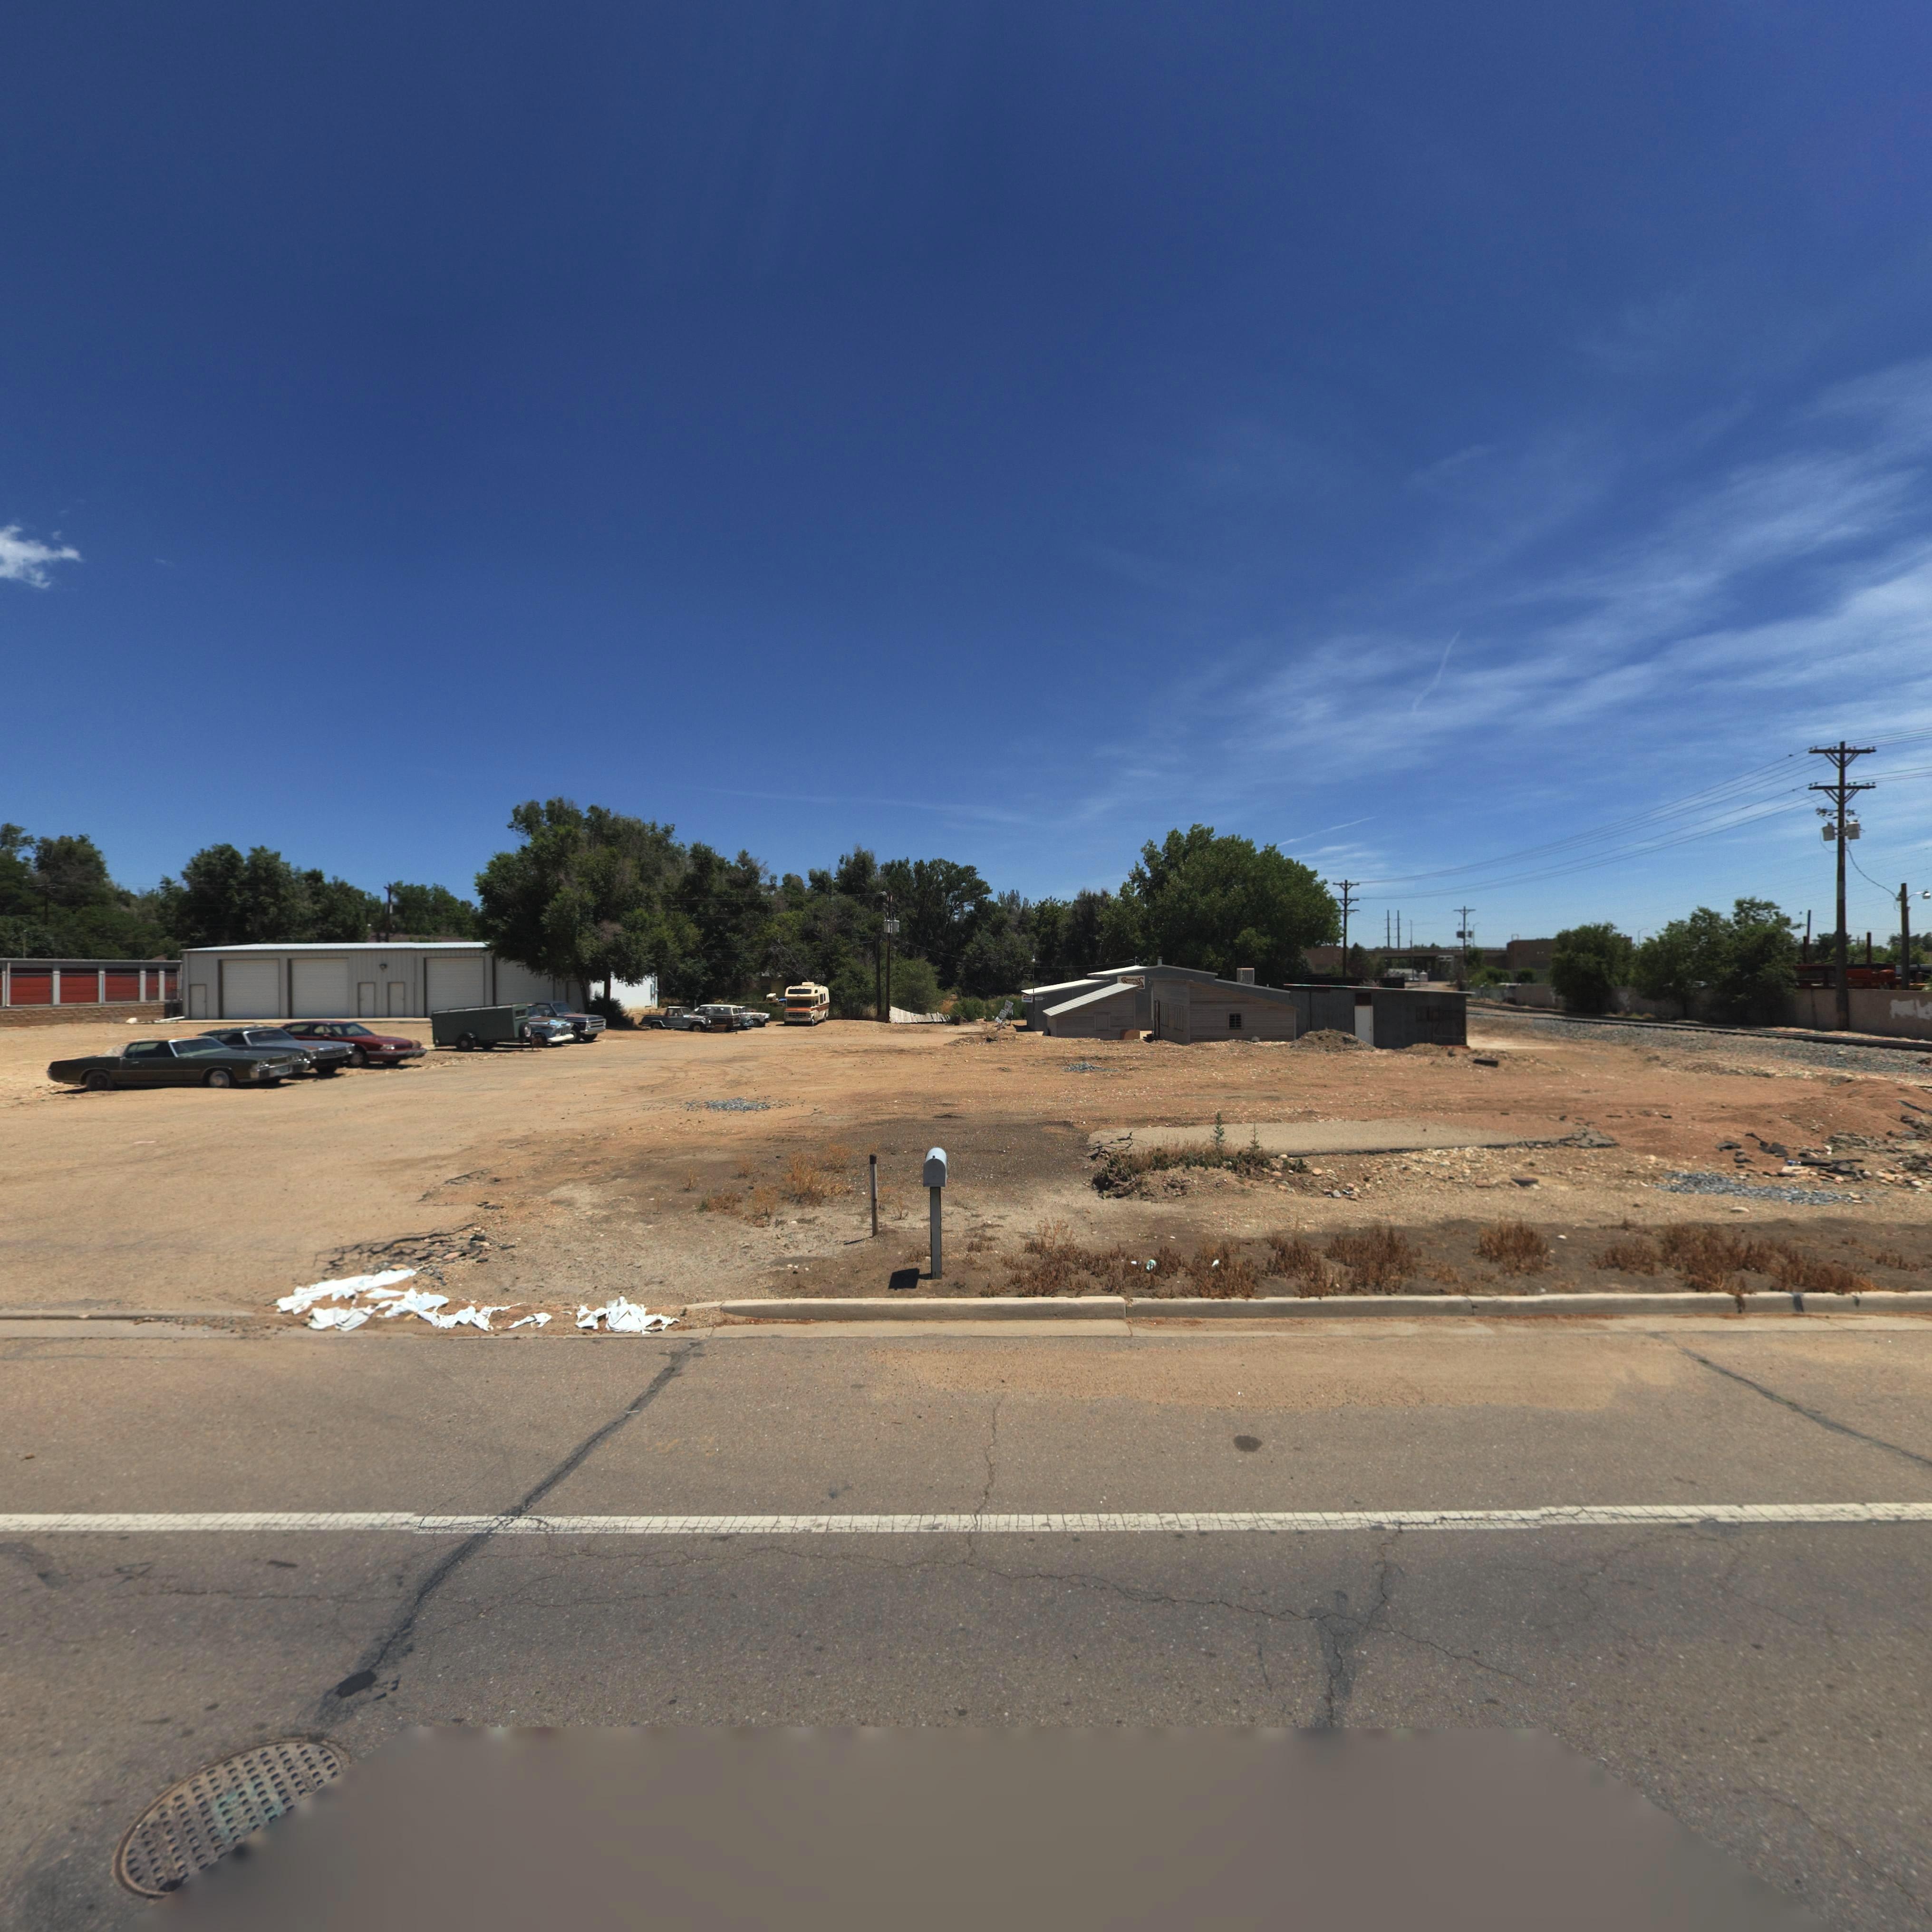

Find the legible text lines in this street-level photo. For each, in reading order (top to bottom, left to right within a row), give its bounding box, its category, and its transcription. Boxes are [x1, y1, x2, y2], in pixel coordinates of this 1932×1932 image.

[1120, 976, 1144, 986] BusinessName: S****S